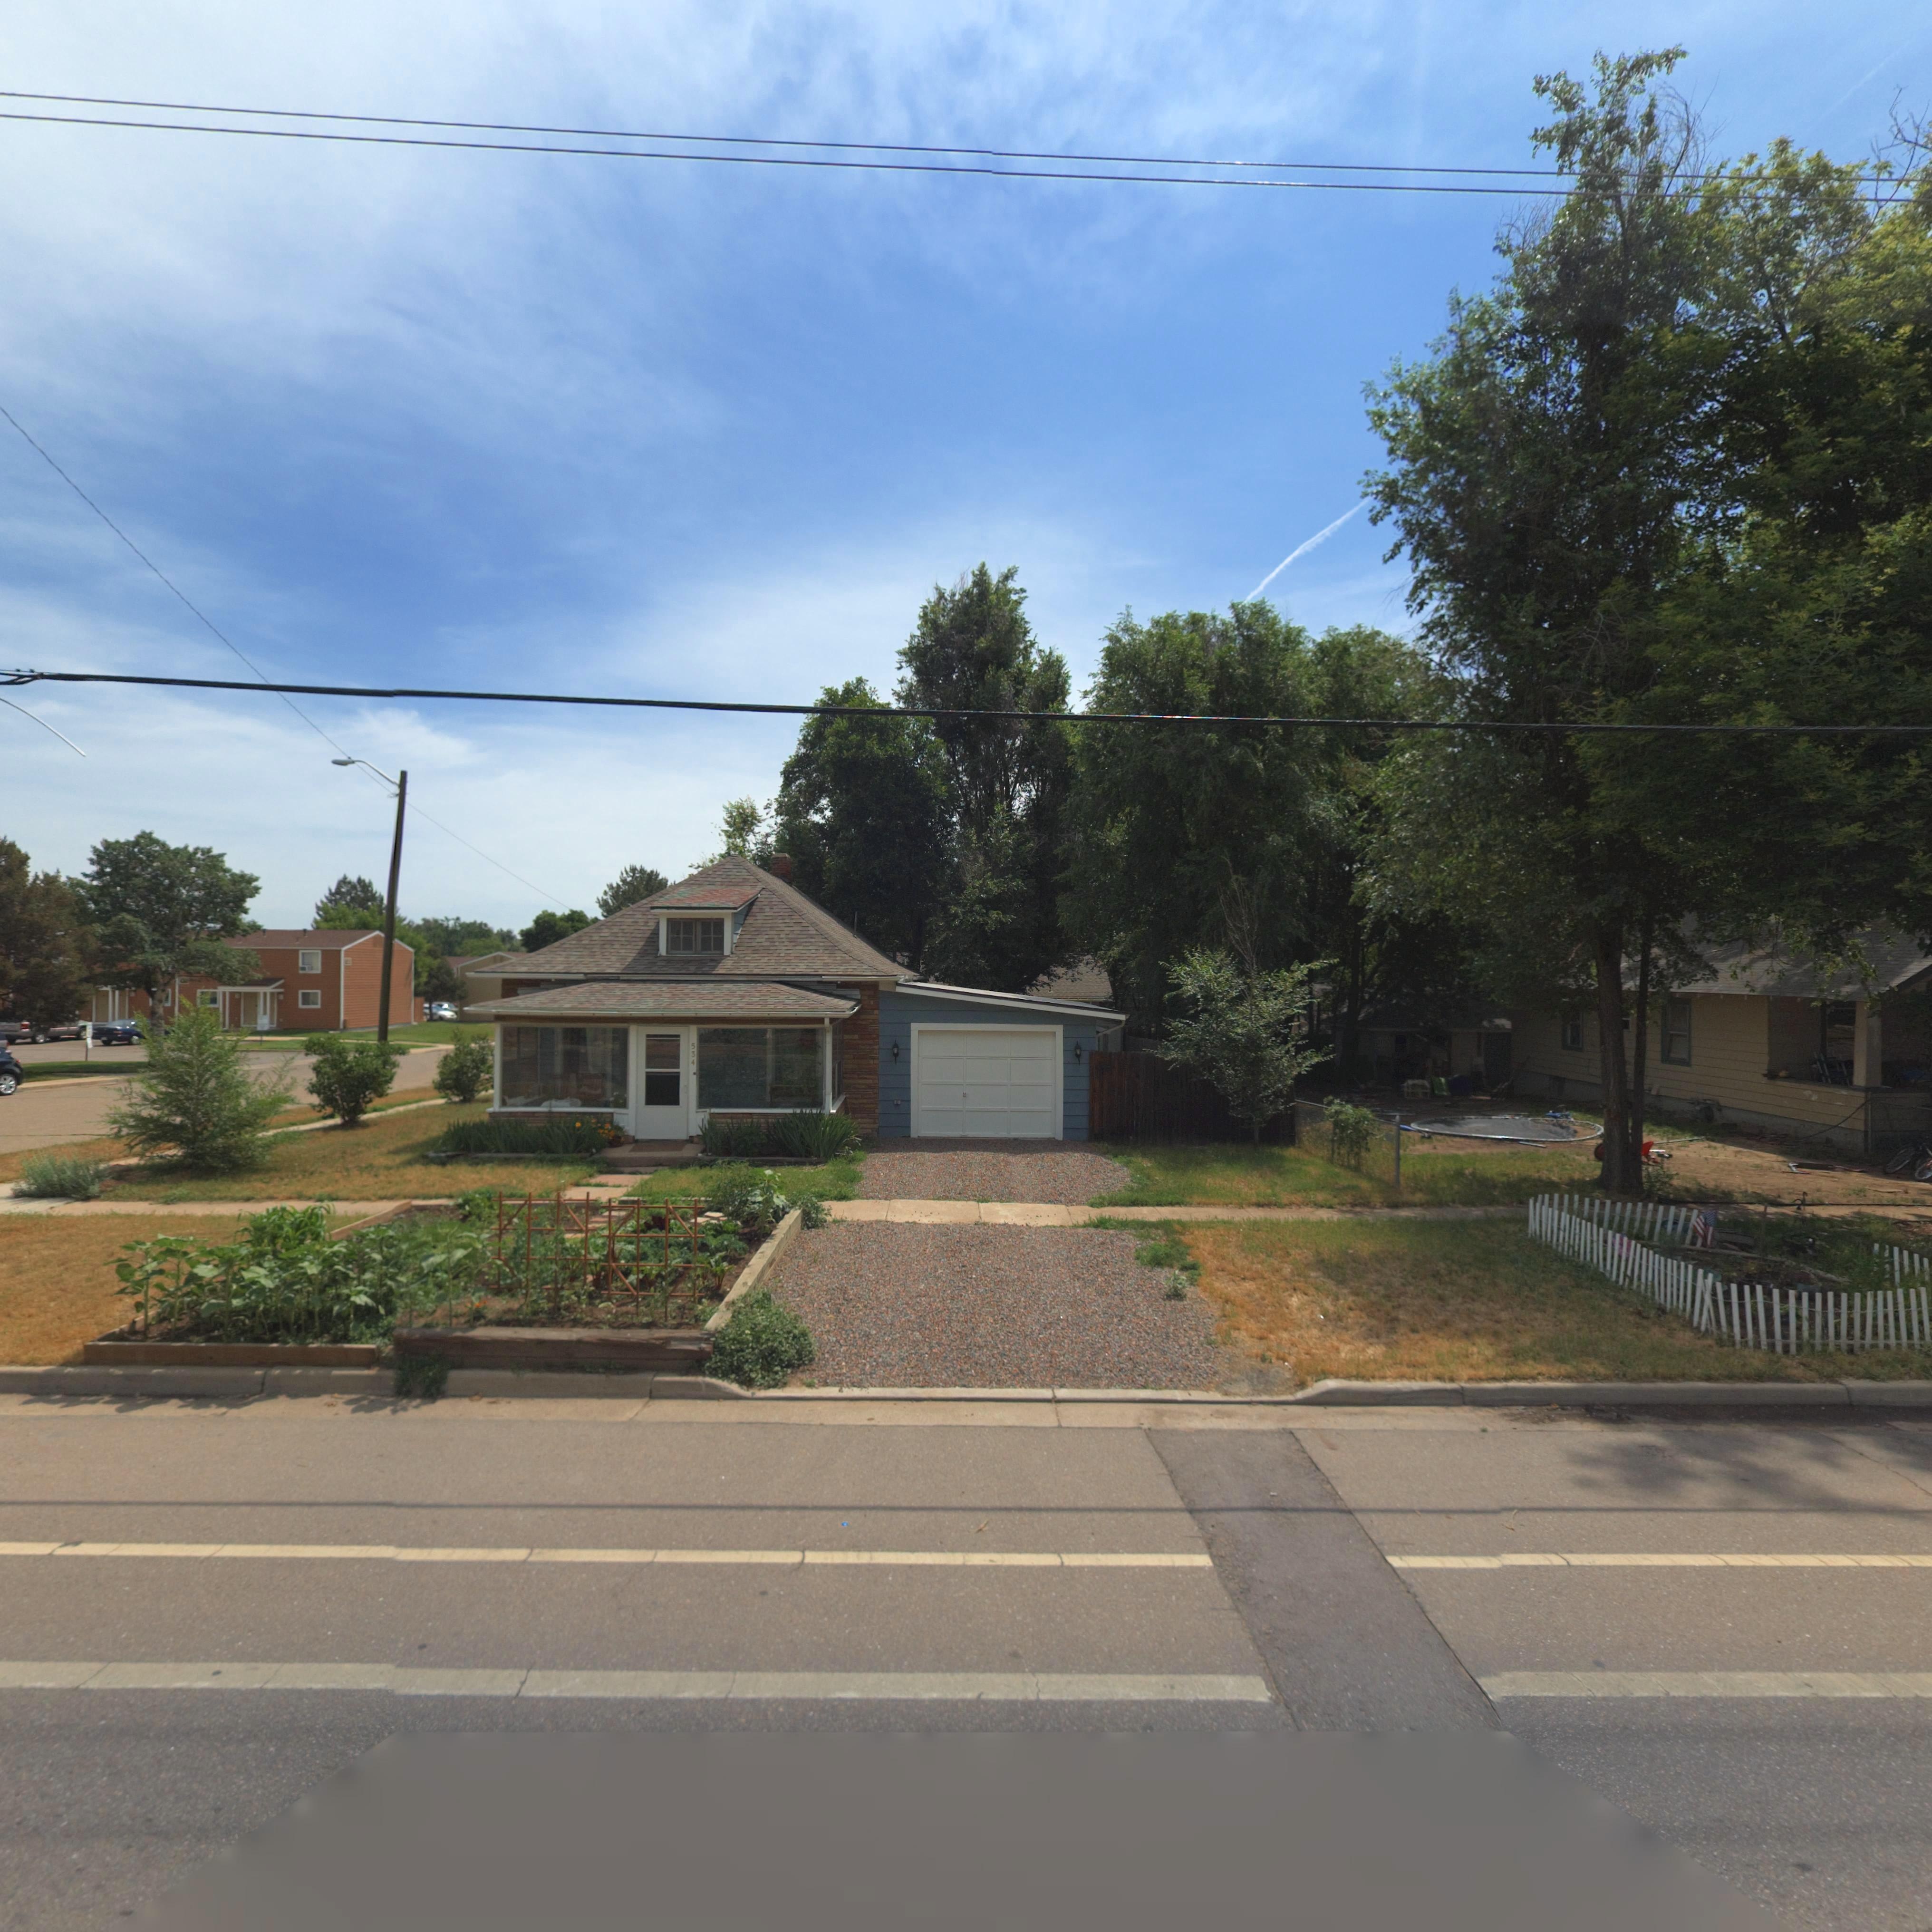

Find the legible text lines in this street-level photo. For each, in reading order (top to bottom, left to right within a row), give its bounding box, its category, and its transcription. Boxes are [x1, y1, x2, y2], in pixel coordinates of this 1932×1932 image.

[691, 1043, 696, 1065] StreetNumber: 534